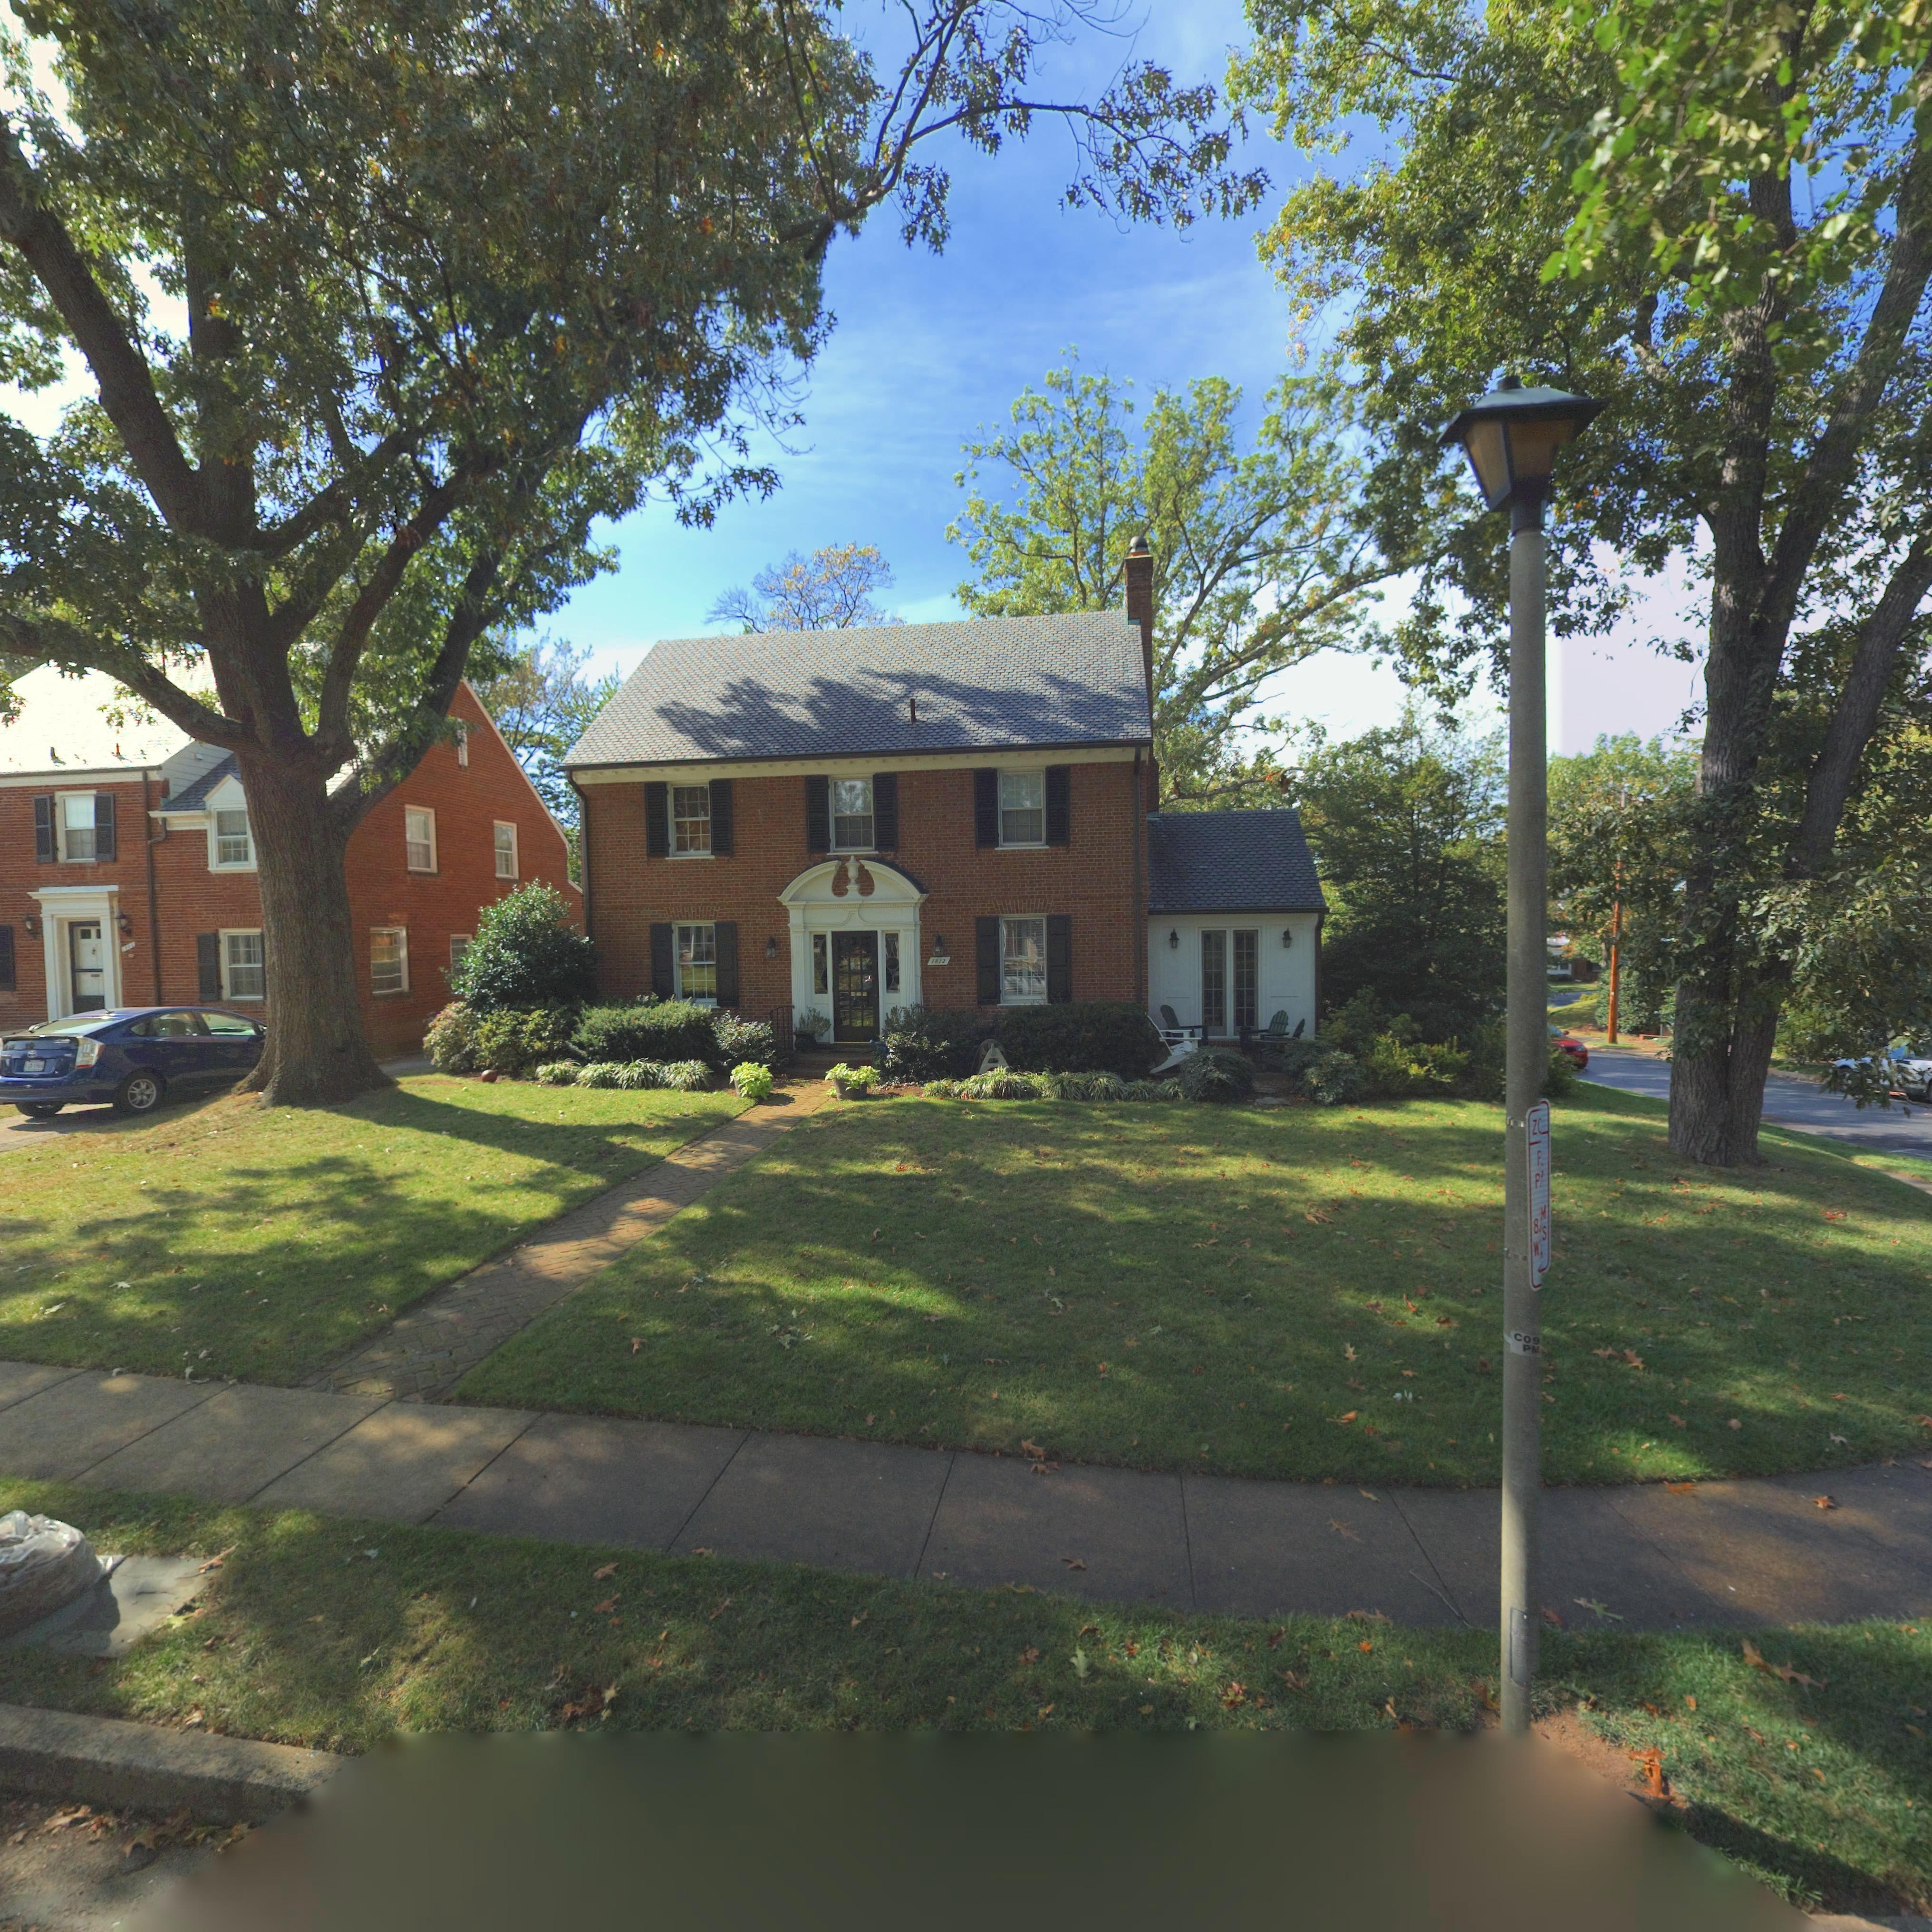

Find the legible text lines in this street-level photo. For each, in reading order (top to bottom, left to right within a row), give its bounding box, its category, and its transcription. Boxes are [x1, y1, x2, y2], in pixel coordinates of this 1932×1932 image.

[930, 957, 947, 965] StreetNumber: 1812
[1531, 1117, 1539, 1137] None: Z
[1534, 1171, 1542, 1190] None: P
[1539, 1202, 1547, 1222] None: M
[1532, 1217, 1540, 1236] None: 8
[1541, 1224, 1548, 1241] None: S
[1513, 1331, 1541, 1346] None: CO9
[1521, 1343, 1533, 1353] None: P